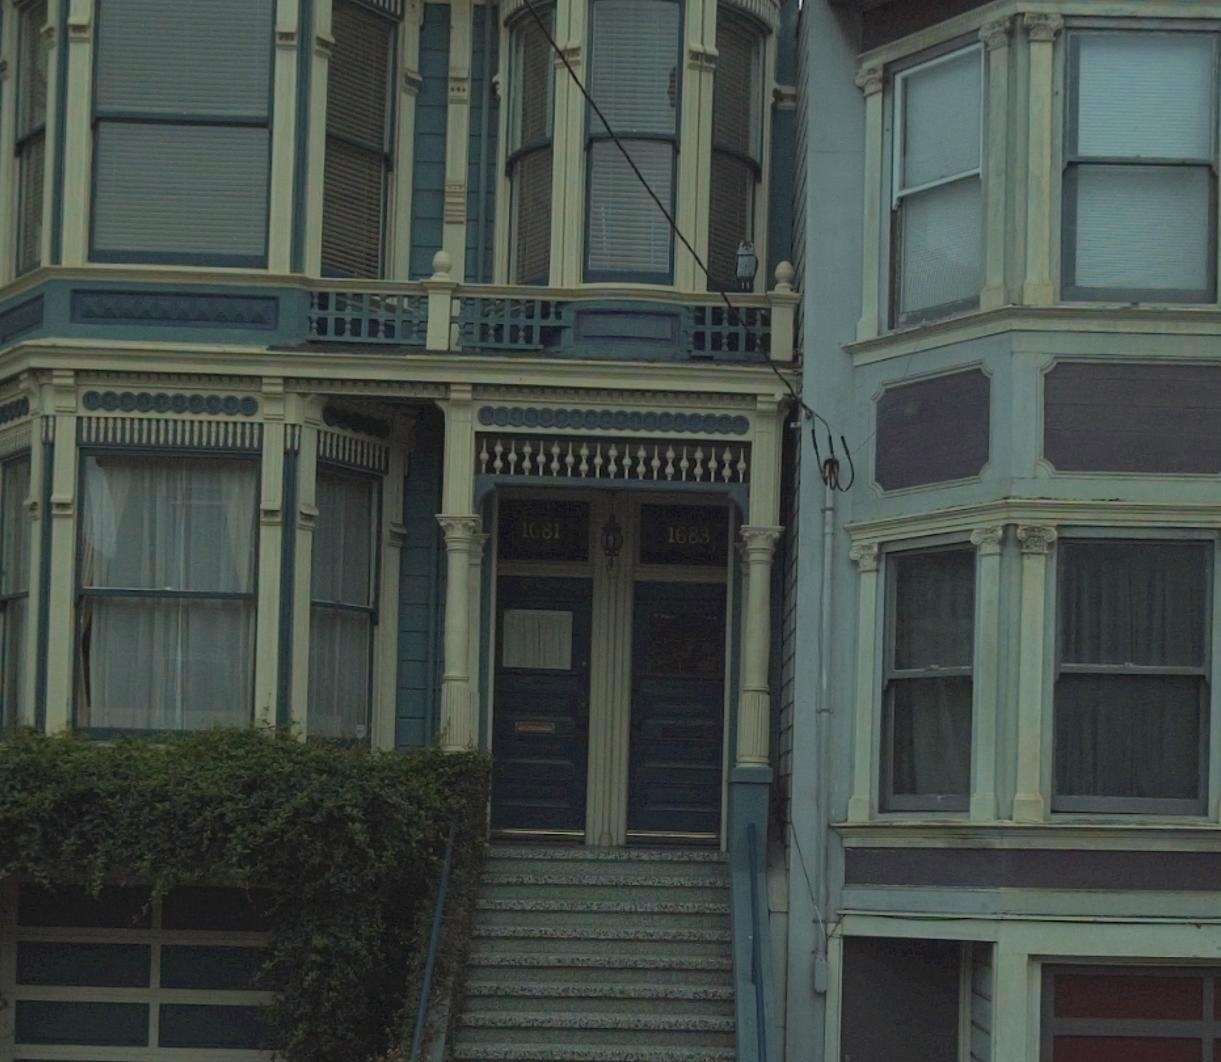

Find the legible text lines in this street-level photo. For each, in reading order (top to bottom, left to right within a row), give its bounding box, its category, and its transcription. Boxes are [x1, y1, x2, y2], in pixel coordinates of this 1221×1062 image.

[520, 517, 561, 542] StreetNumber: 1681
[666, 524, 711, 545] StreetNumber: 1683